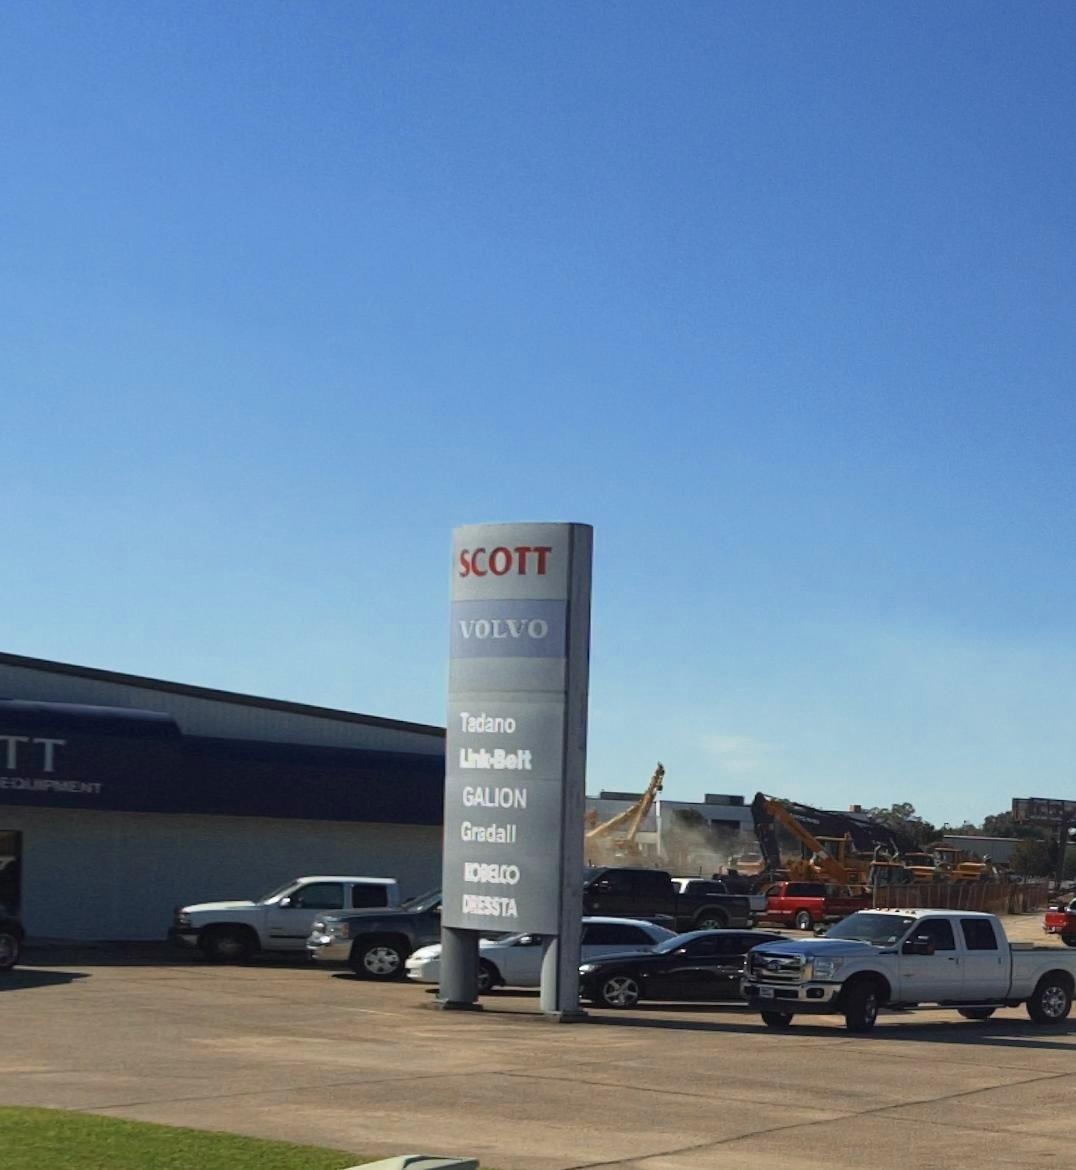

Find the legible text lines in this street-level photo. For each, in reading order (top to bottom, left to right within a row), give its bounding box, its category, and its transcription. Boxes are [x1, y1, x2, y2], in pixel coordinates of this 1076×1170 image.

[456, 543, 557, 582] BusinessName: SCOTT
[455, 616, 552, 642] BusinessName: VOLVO
[457, 709, 519, 736] None: TEDANO
[1, 732, 69, 774] BusinessName: TT
[457, 745, 534, 773] None: LINK-BELT
[51, 777, 103, 796] None: MENT
[460, 782, 530, 812] None: GALION
[458, 818, 519, 845] None: Gradall
[461, 859, 523, 888] None: *O***CO
[460, 891, 523, 921] None: *****TA